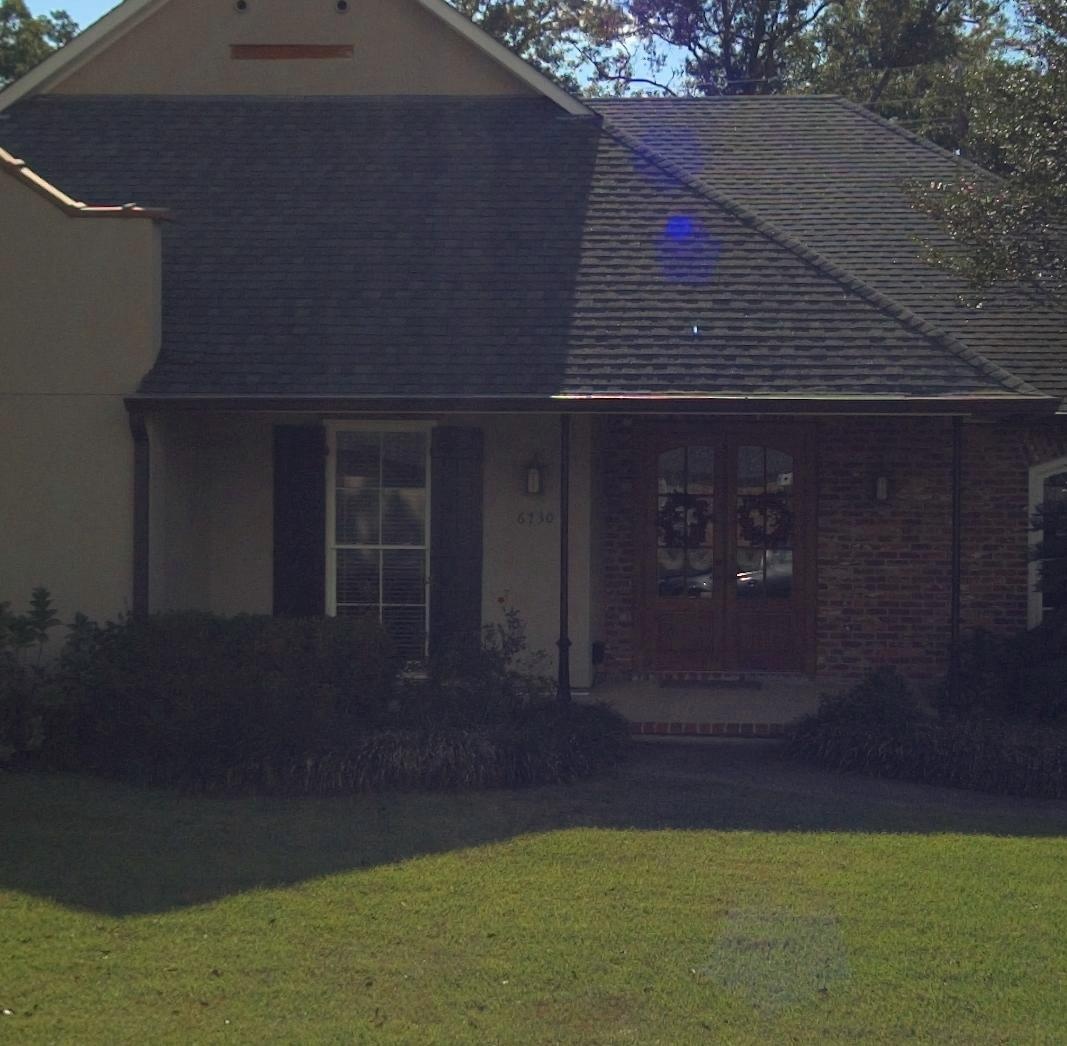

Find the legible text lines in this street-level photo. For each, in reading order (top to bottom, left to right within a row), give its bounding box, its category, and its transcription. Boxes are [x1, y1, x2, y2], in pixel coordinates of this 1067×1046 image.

[516, 511, 555, 525] StreetNumber: 6730